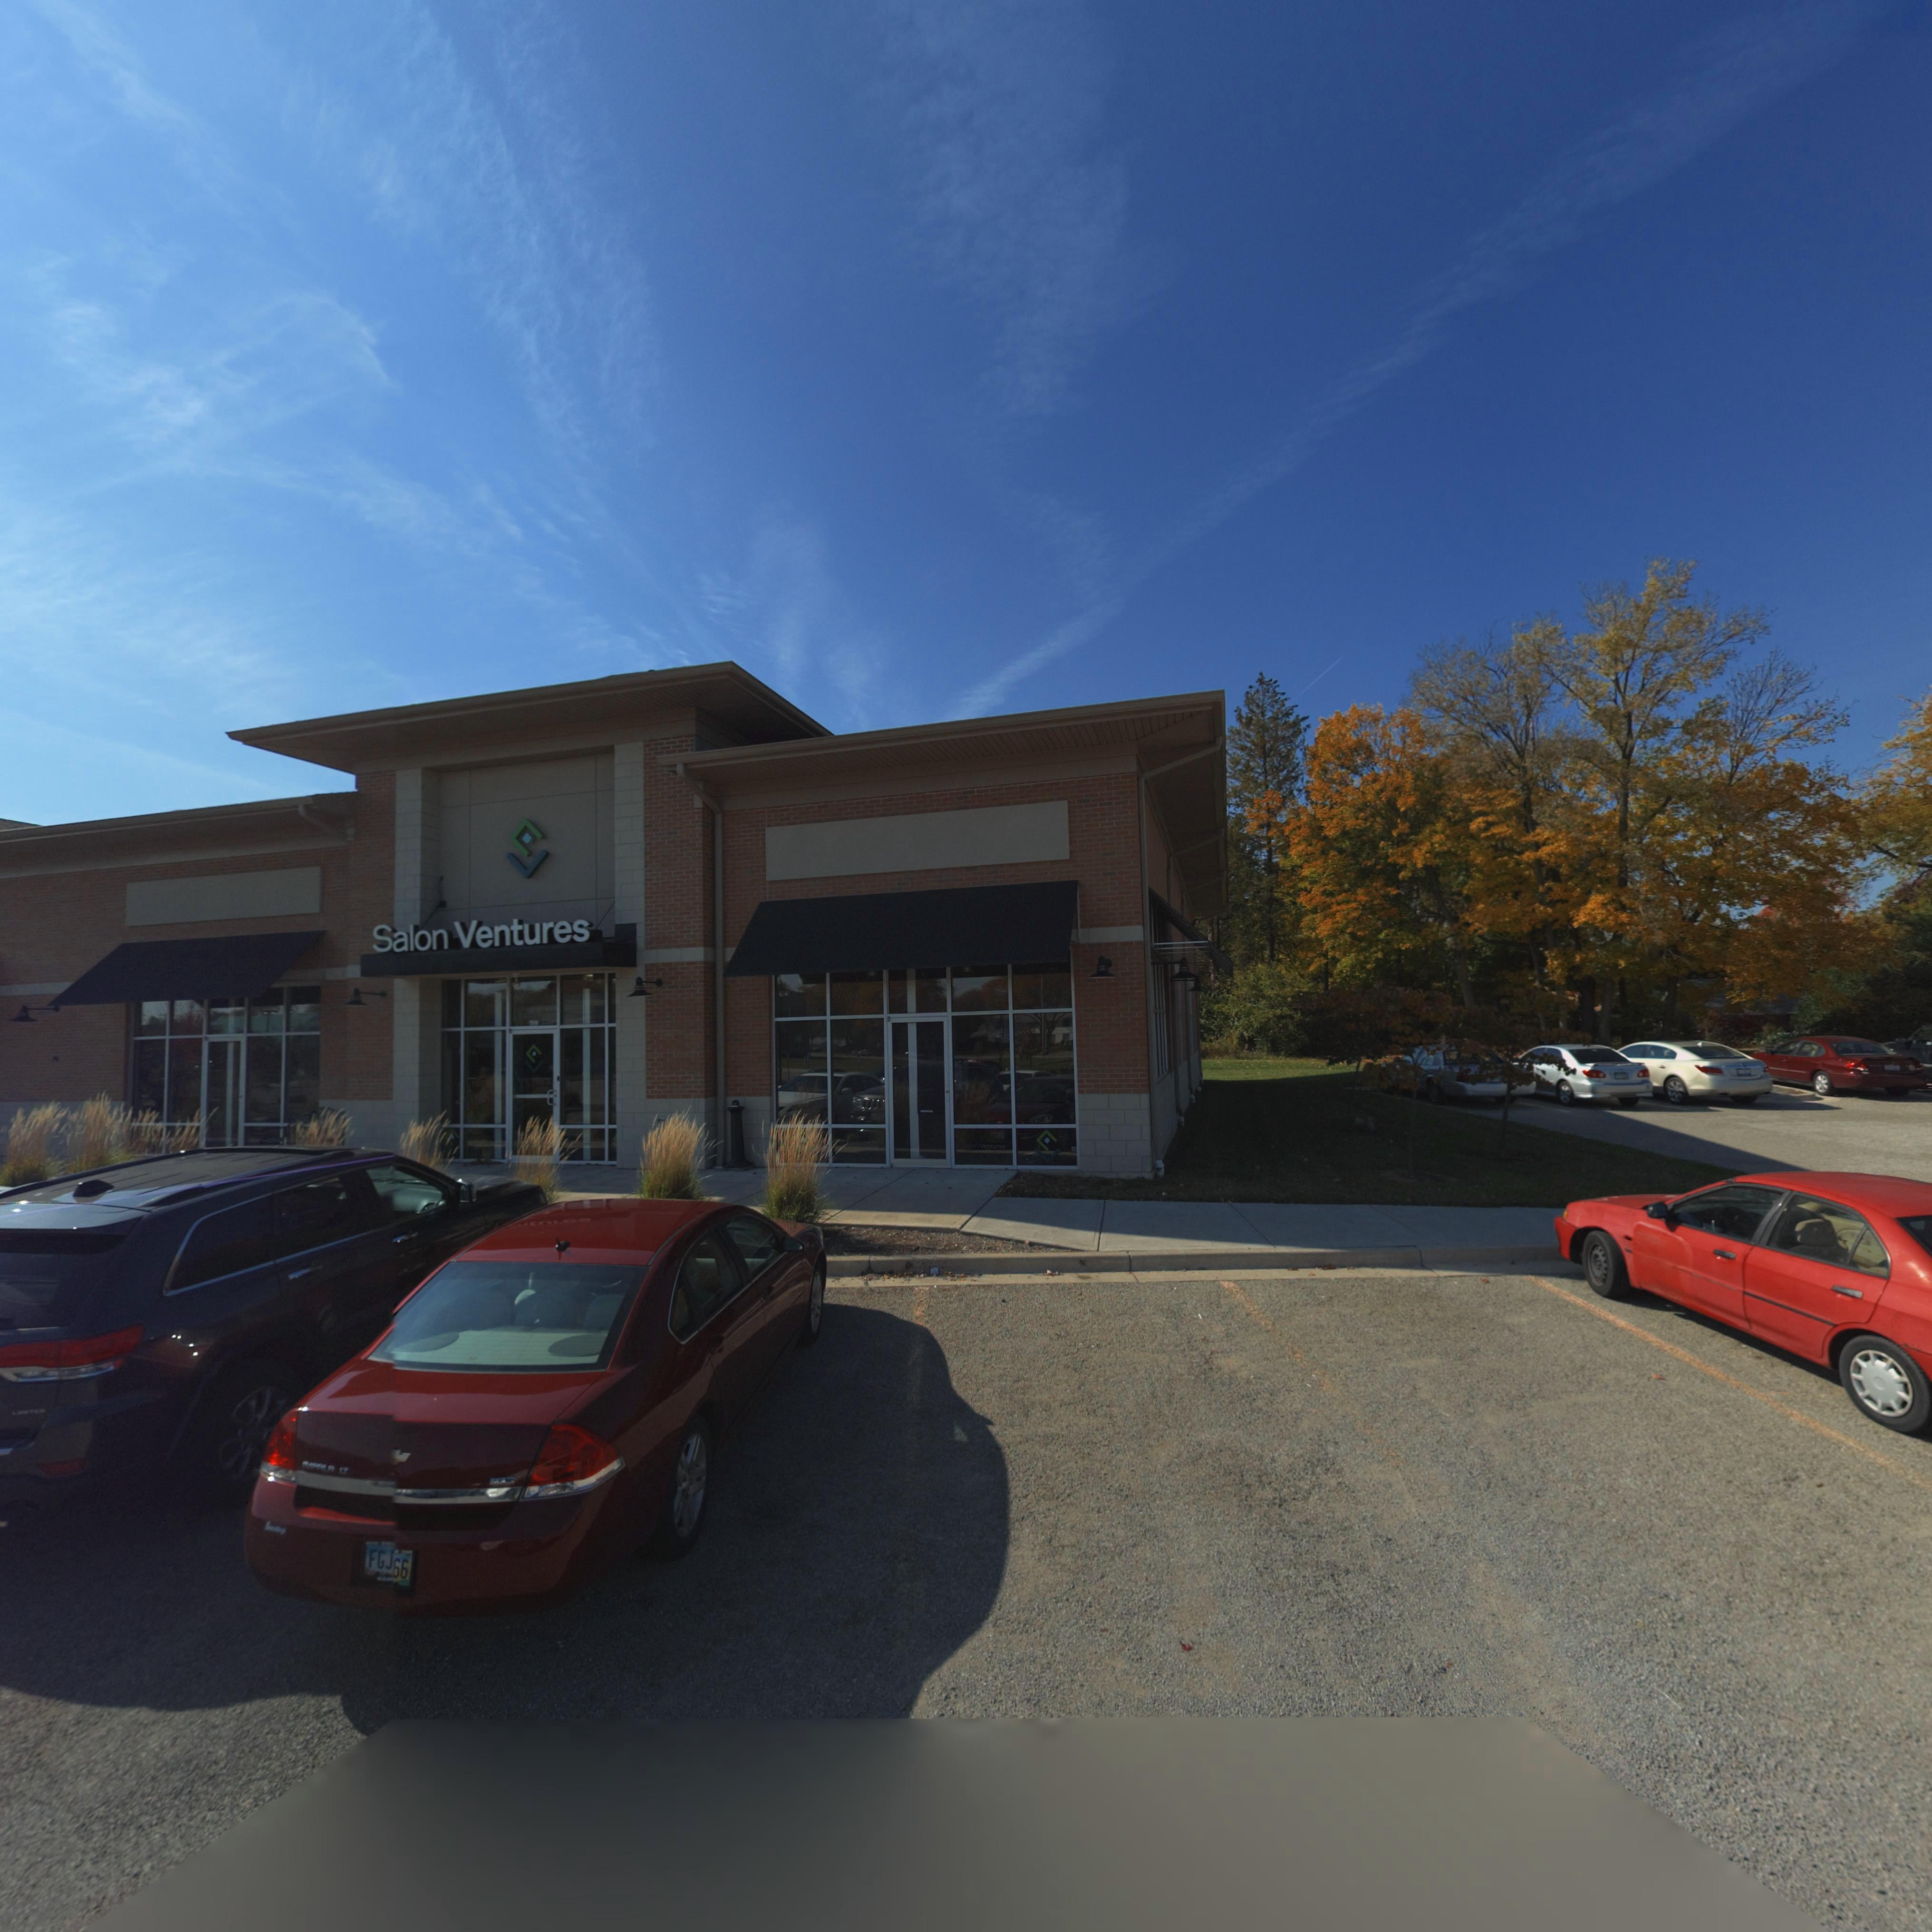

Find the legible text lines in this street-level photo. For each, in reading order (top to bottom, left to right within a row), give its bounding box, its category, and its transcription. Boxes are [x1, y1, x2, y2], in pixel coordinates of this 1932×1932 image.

[371, 917, 594, 956] BusinessName: Salon Ventures